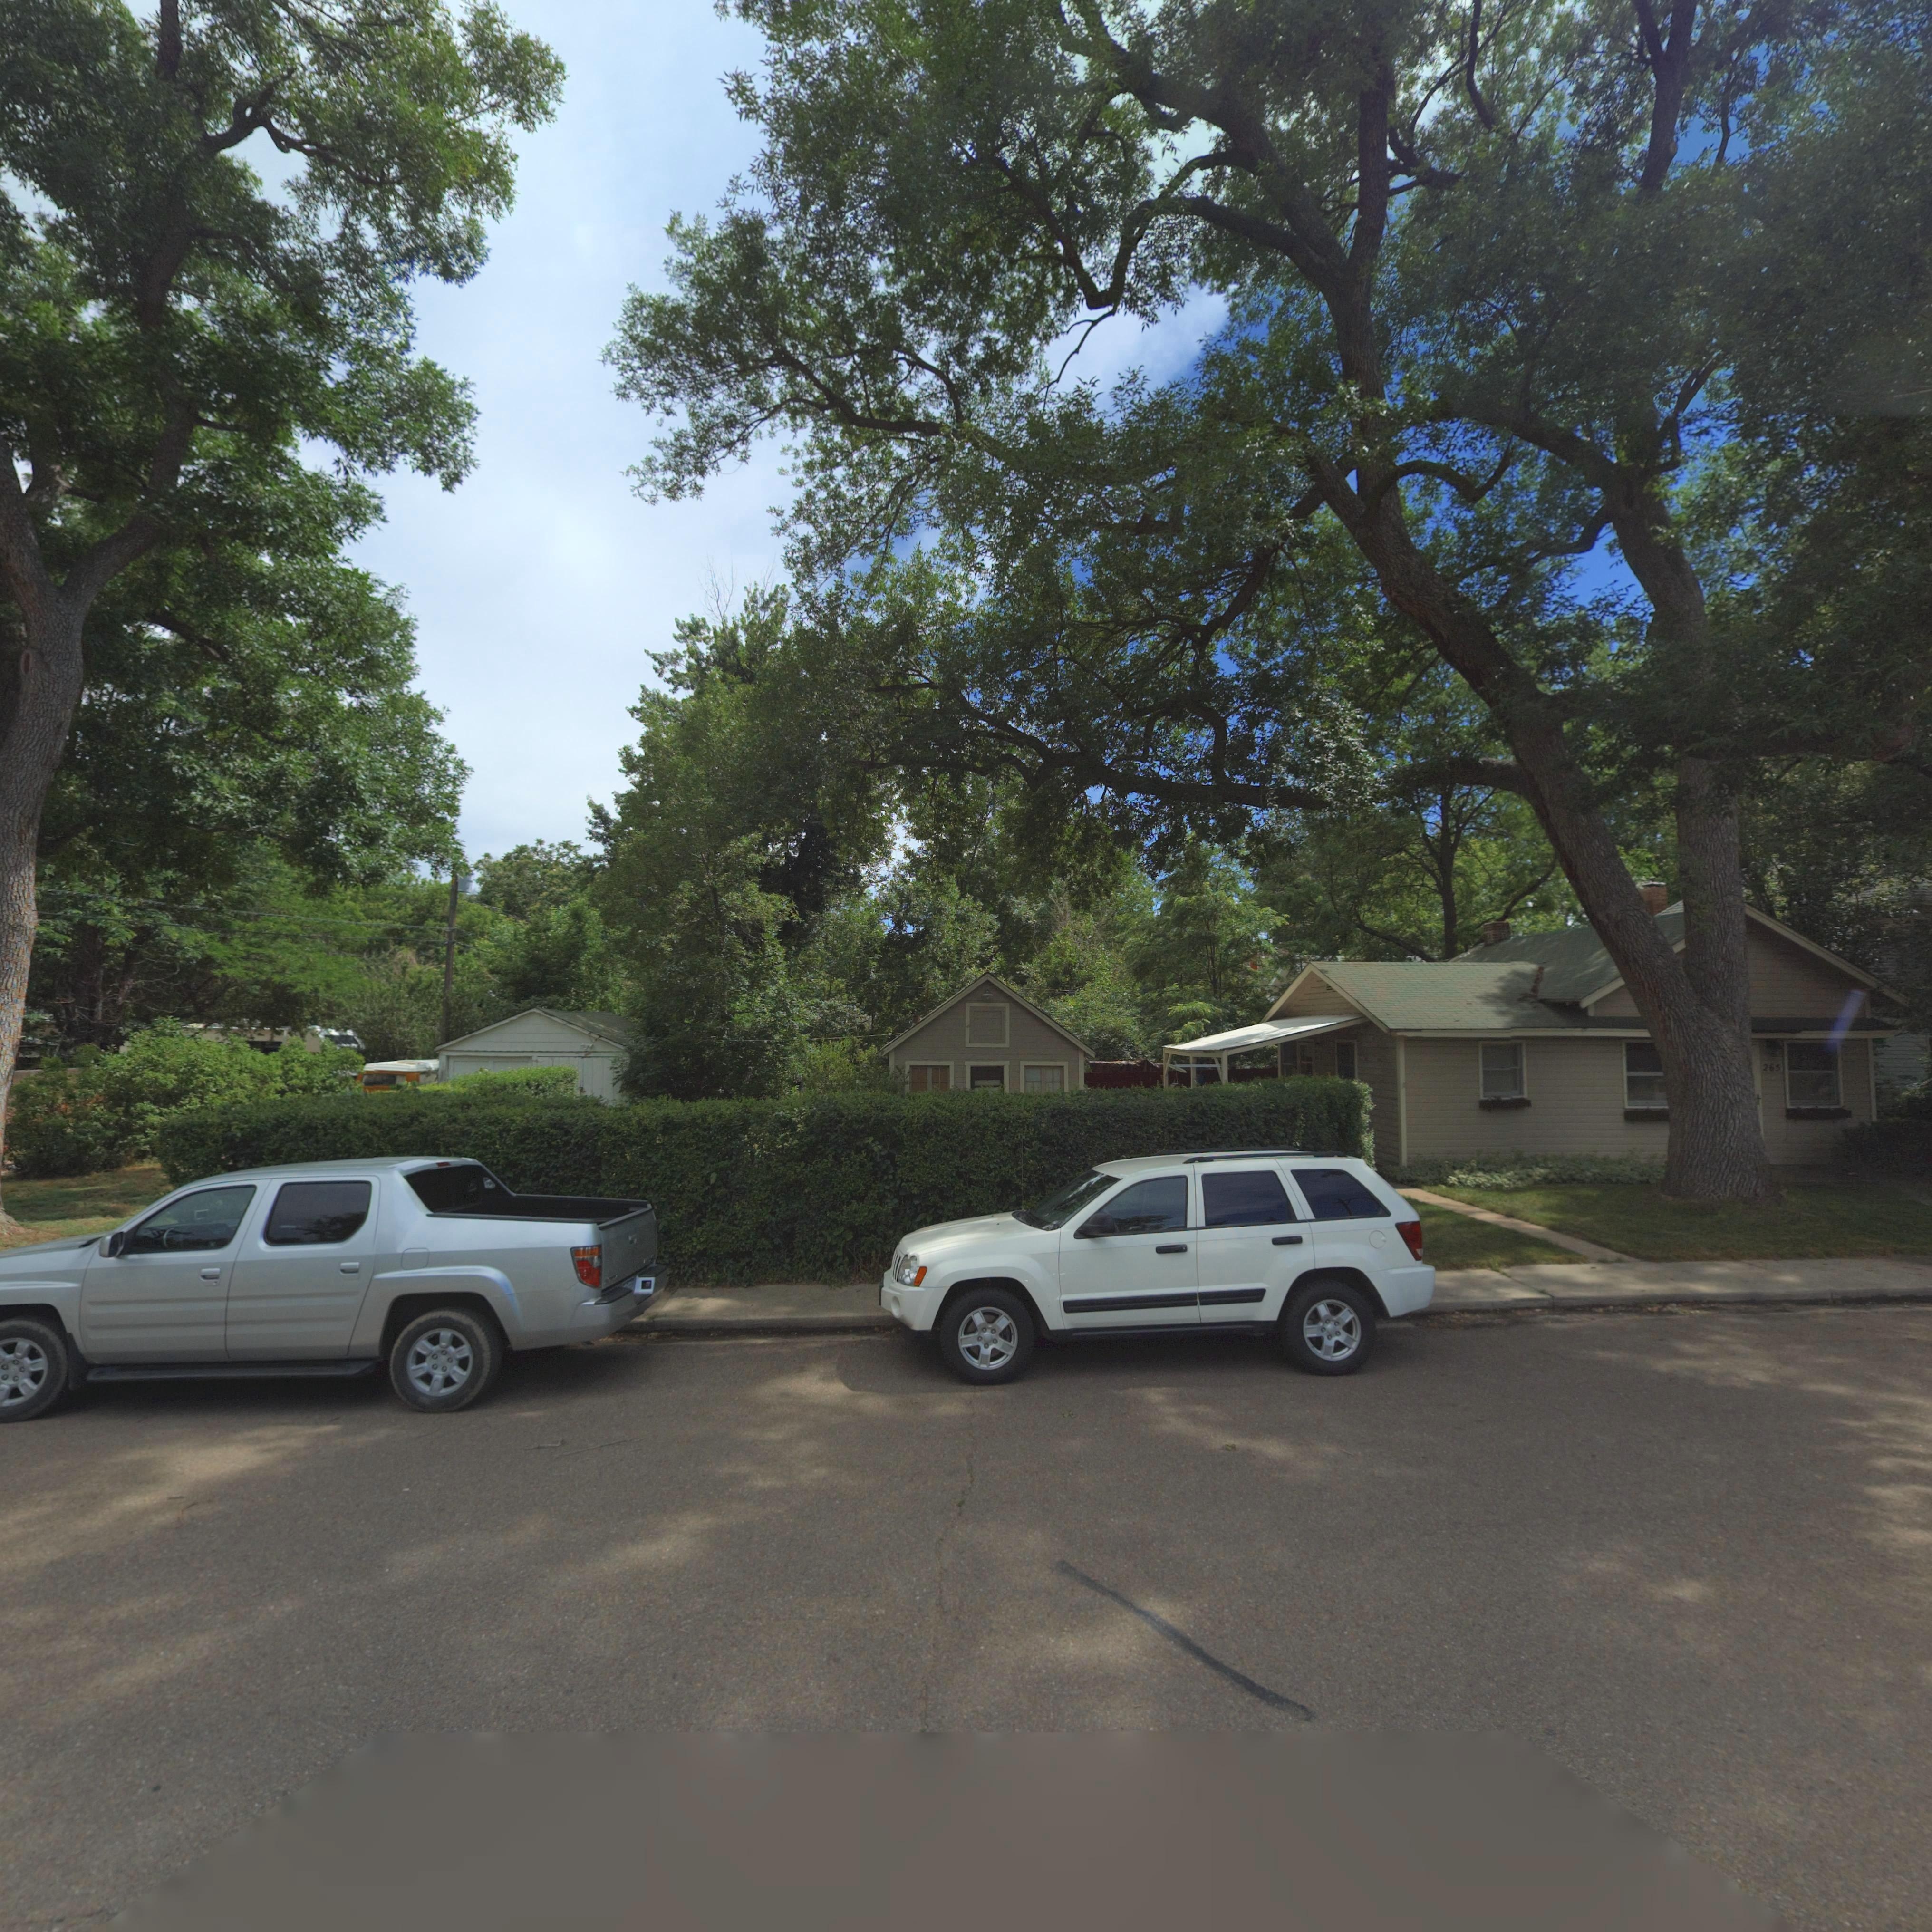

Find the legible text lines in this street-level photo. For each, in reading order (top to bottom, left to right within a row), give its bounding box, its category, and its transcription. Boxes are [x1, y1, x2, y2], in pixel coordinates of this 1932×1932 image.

[1763, 1063, 1781, 1072] StreetNumber: 265